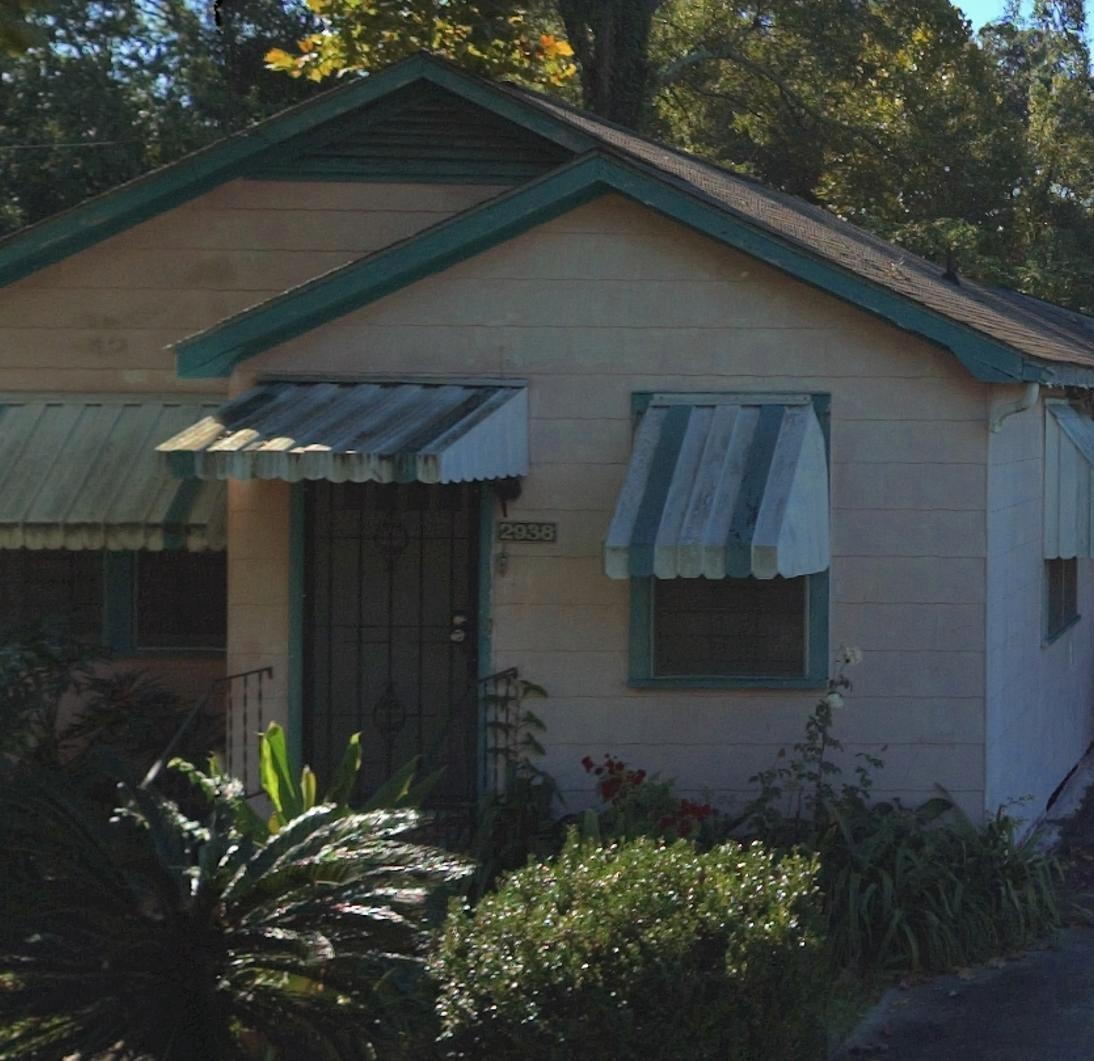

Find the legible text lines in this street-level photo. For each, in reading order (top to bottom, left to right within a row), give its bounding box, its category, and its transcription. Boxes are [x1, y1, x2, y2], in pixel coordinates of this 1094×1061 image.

[497, 521, 556, 542] StreetNumber: 2938